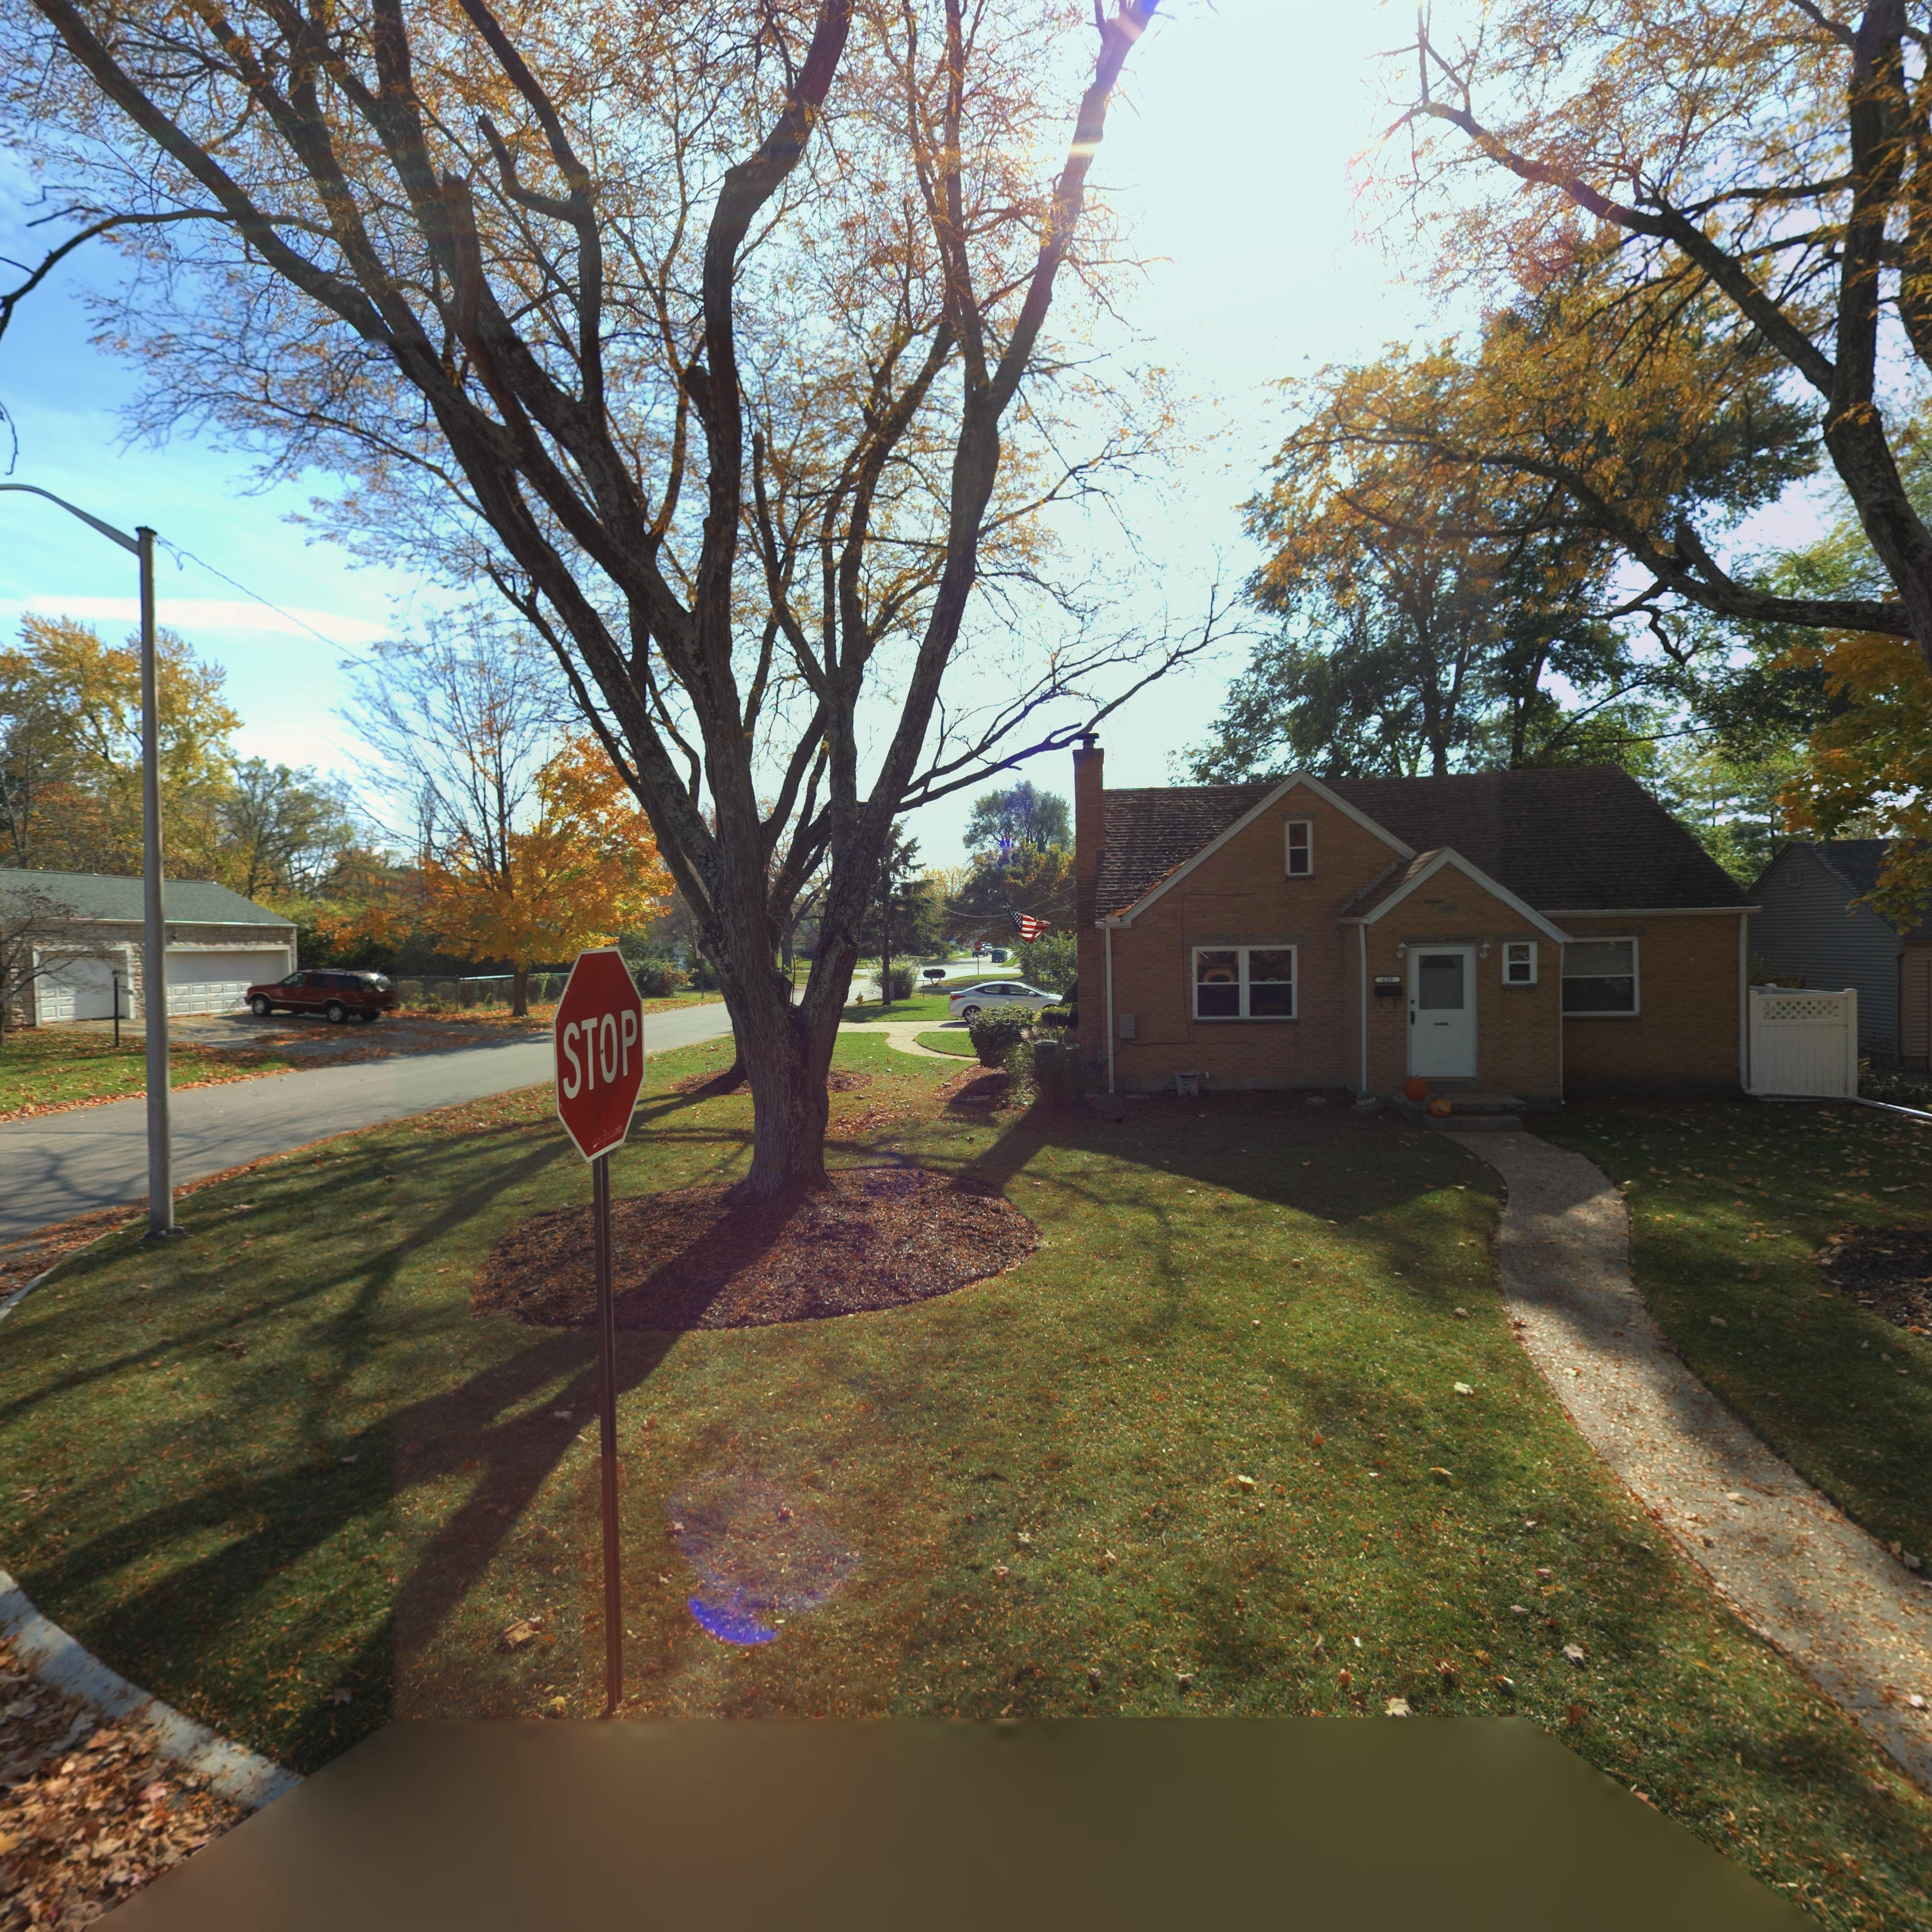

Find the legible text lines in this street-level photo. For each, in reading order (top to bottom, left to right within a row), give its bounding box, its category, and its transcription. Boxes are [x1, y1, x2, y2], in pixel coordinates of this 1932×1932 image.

[1381, 977, 1394, 982] StreetNumber: 620
[562, 1008, 638, 1100] None: STOP
[1364, 1098, 1373, 1105] StreetNumber: 620